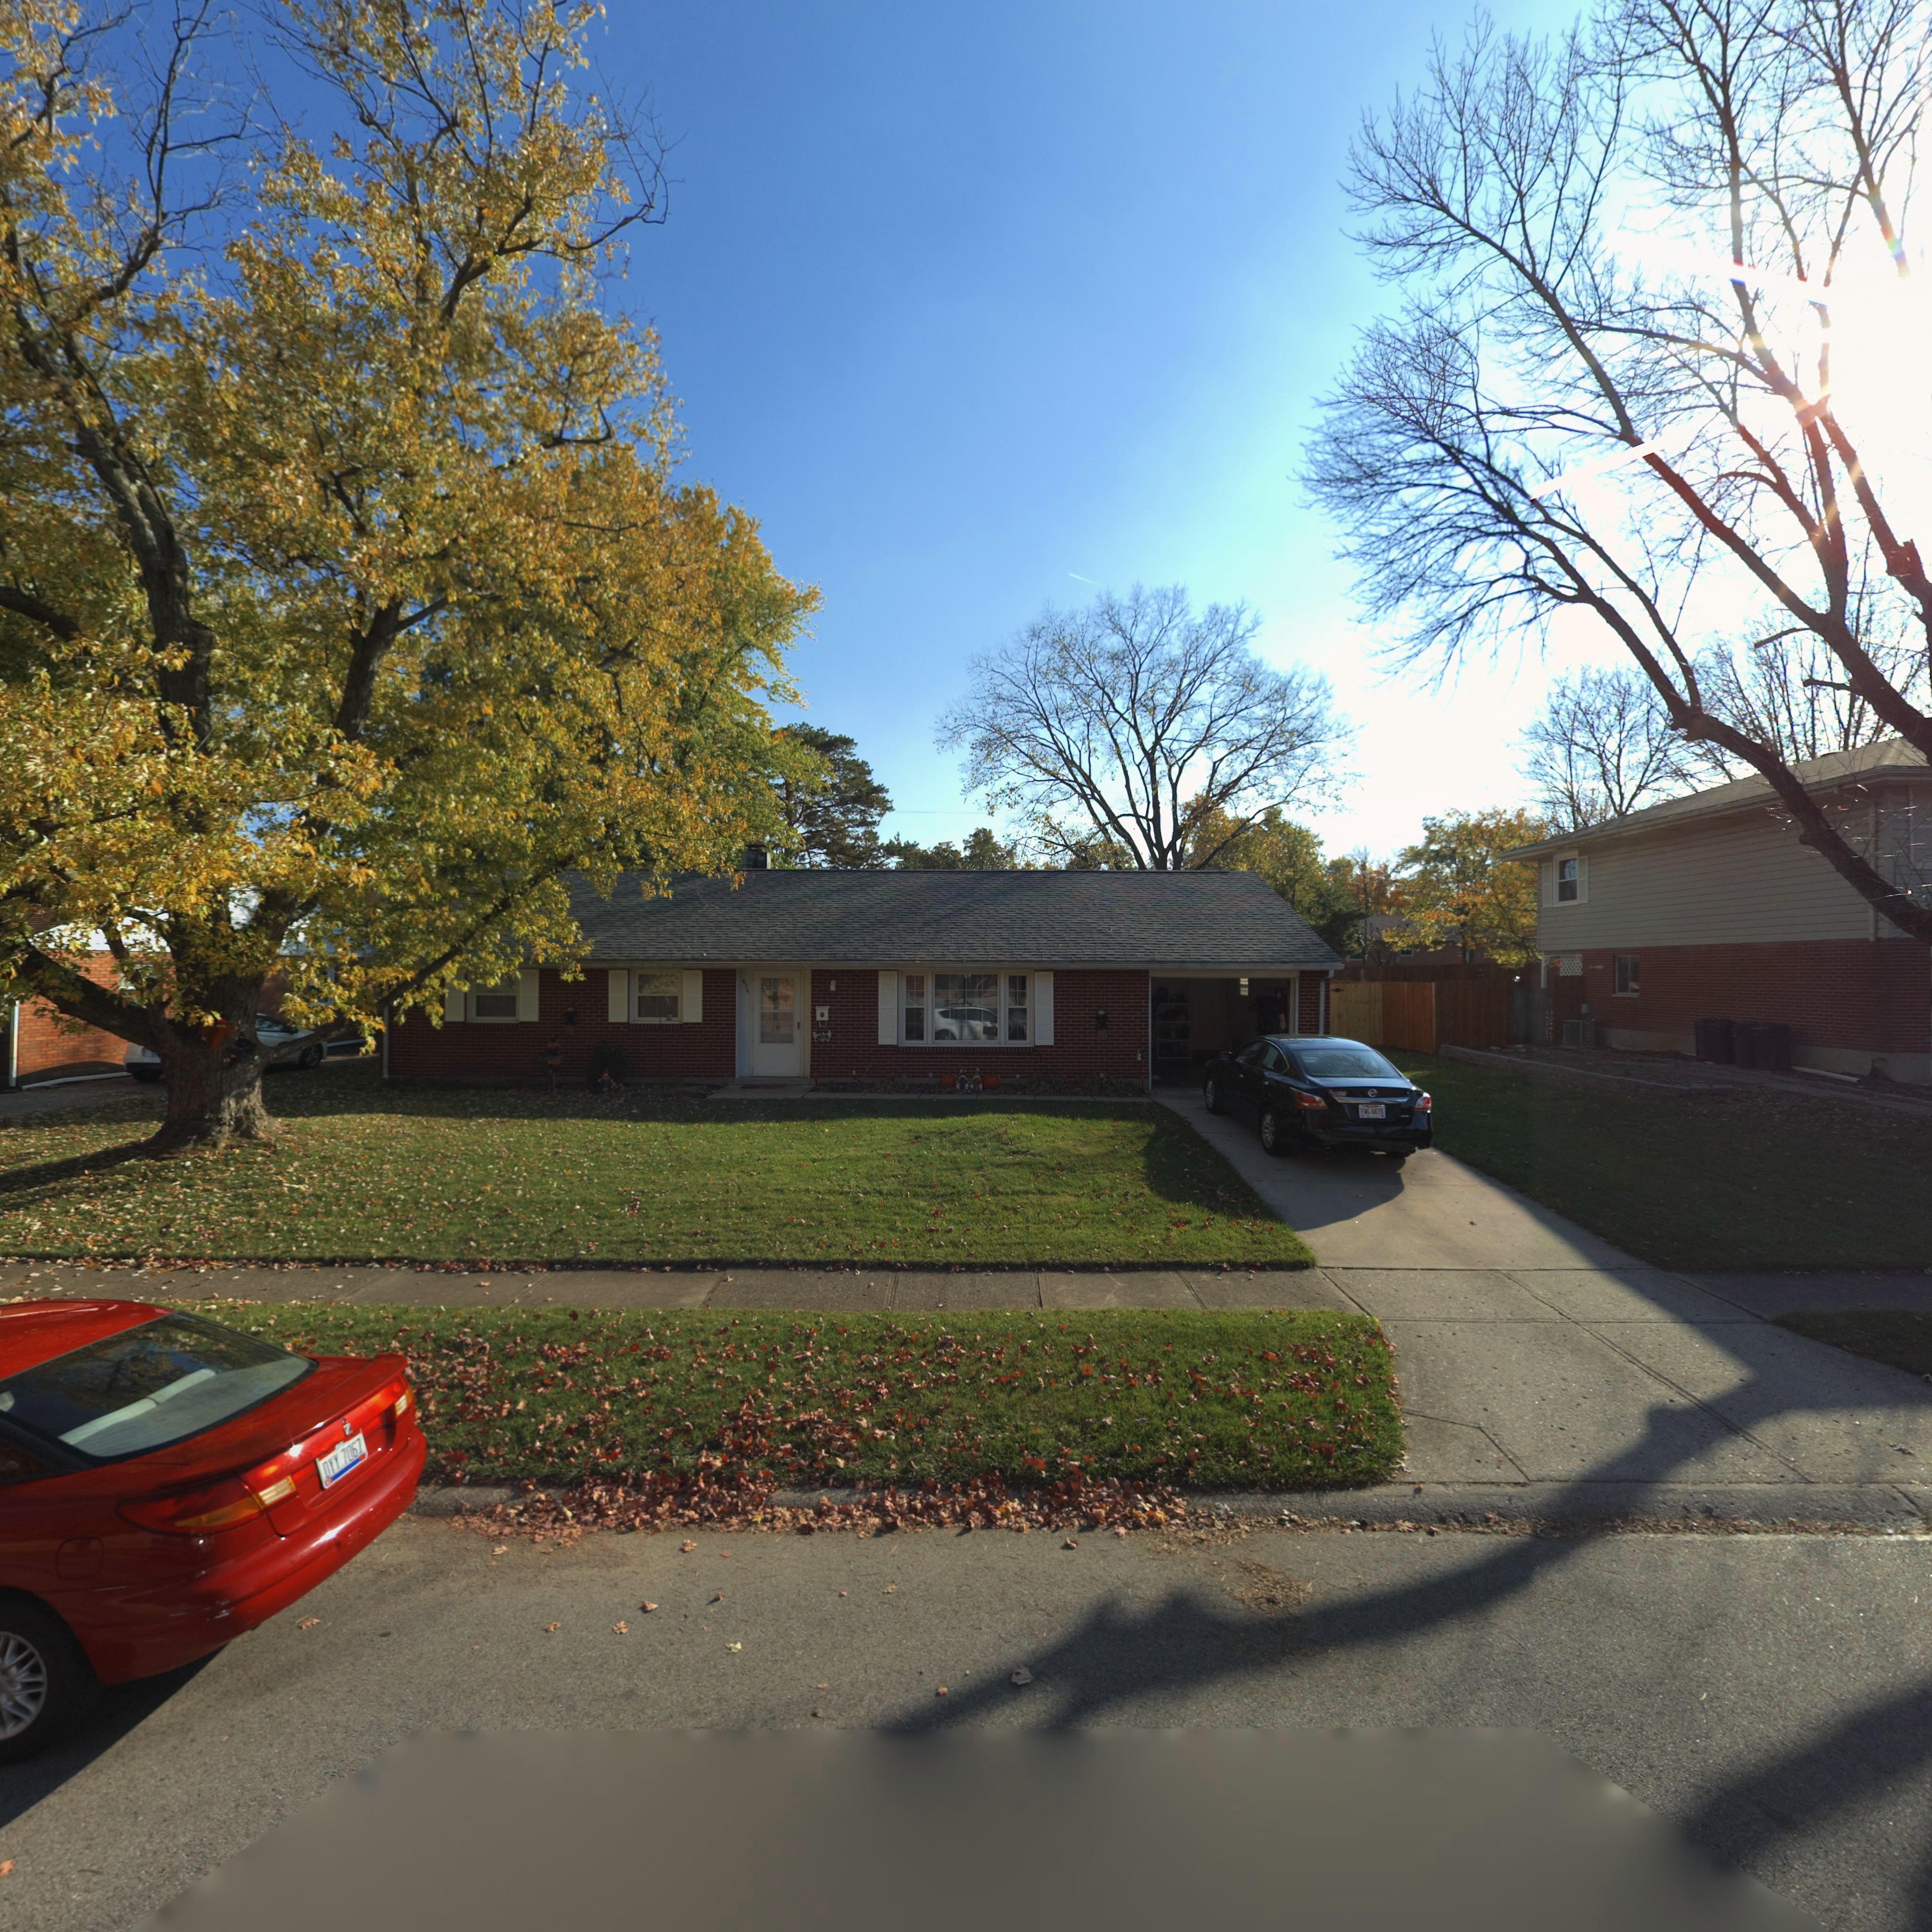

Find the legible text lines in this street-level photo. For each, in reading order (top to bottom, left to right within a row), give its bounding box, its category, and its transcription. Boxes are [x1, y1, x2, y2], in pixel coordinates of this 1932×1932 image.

[741, 977, 750, 995] StreetNumber: 634